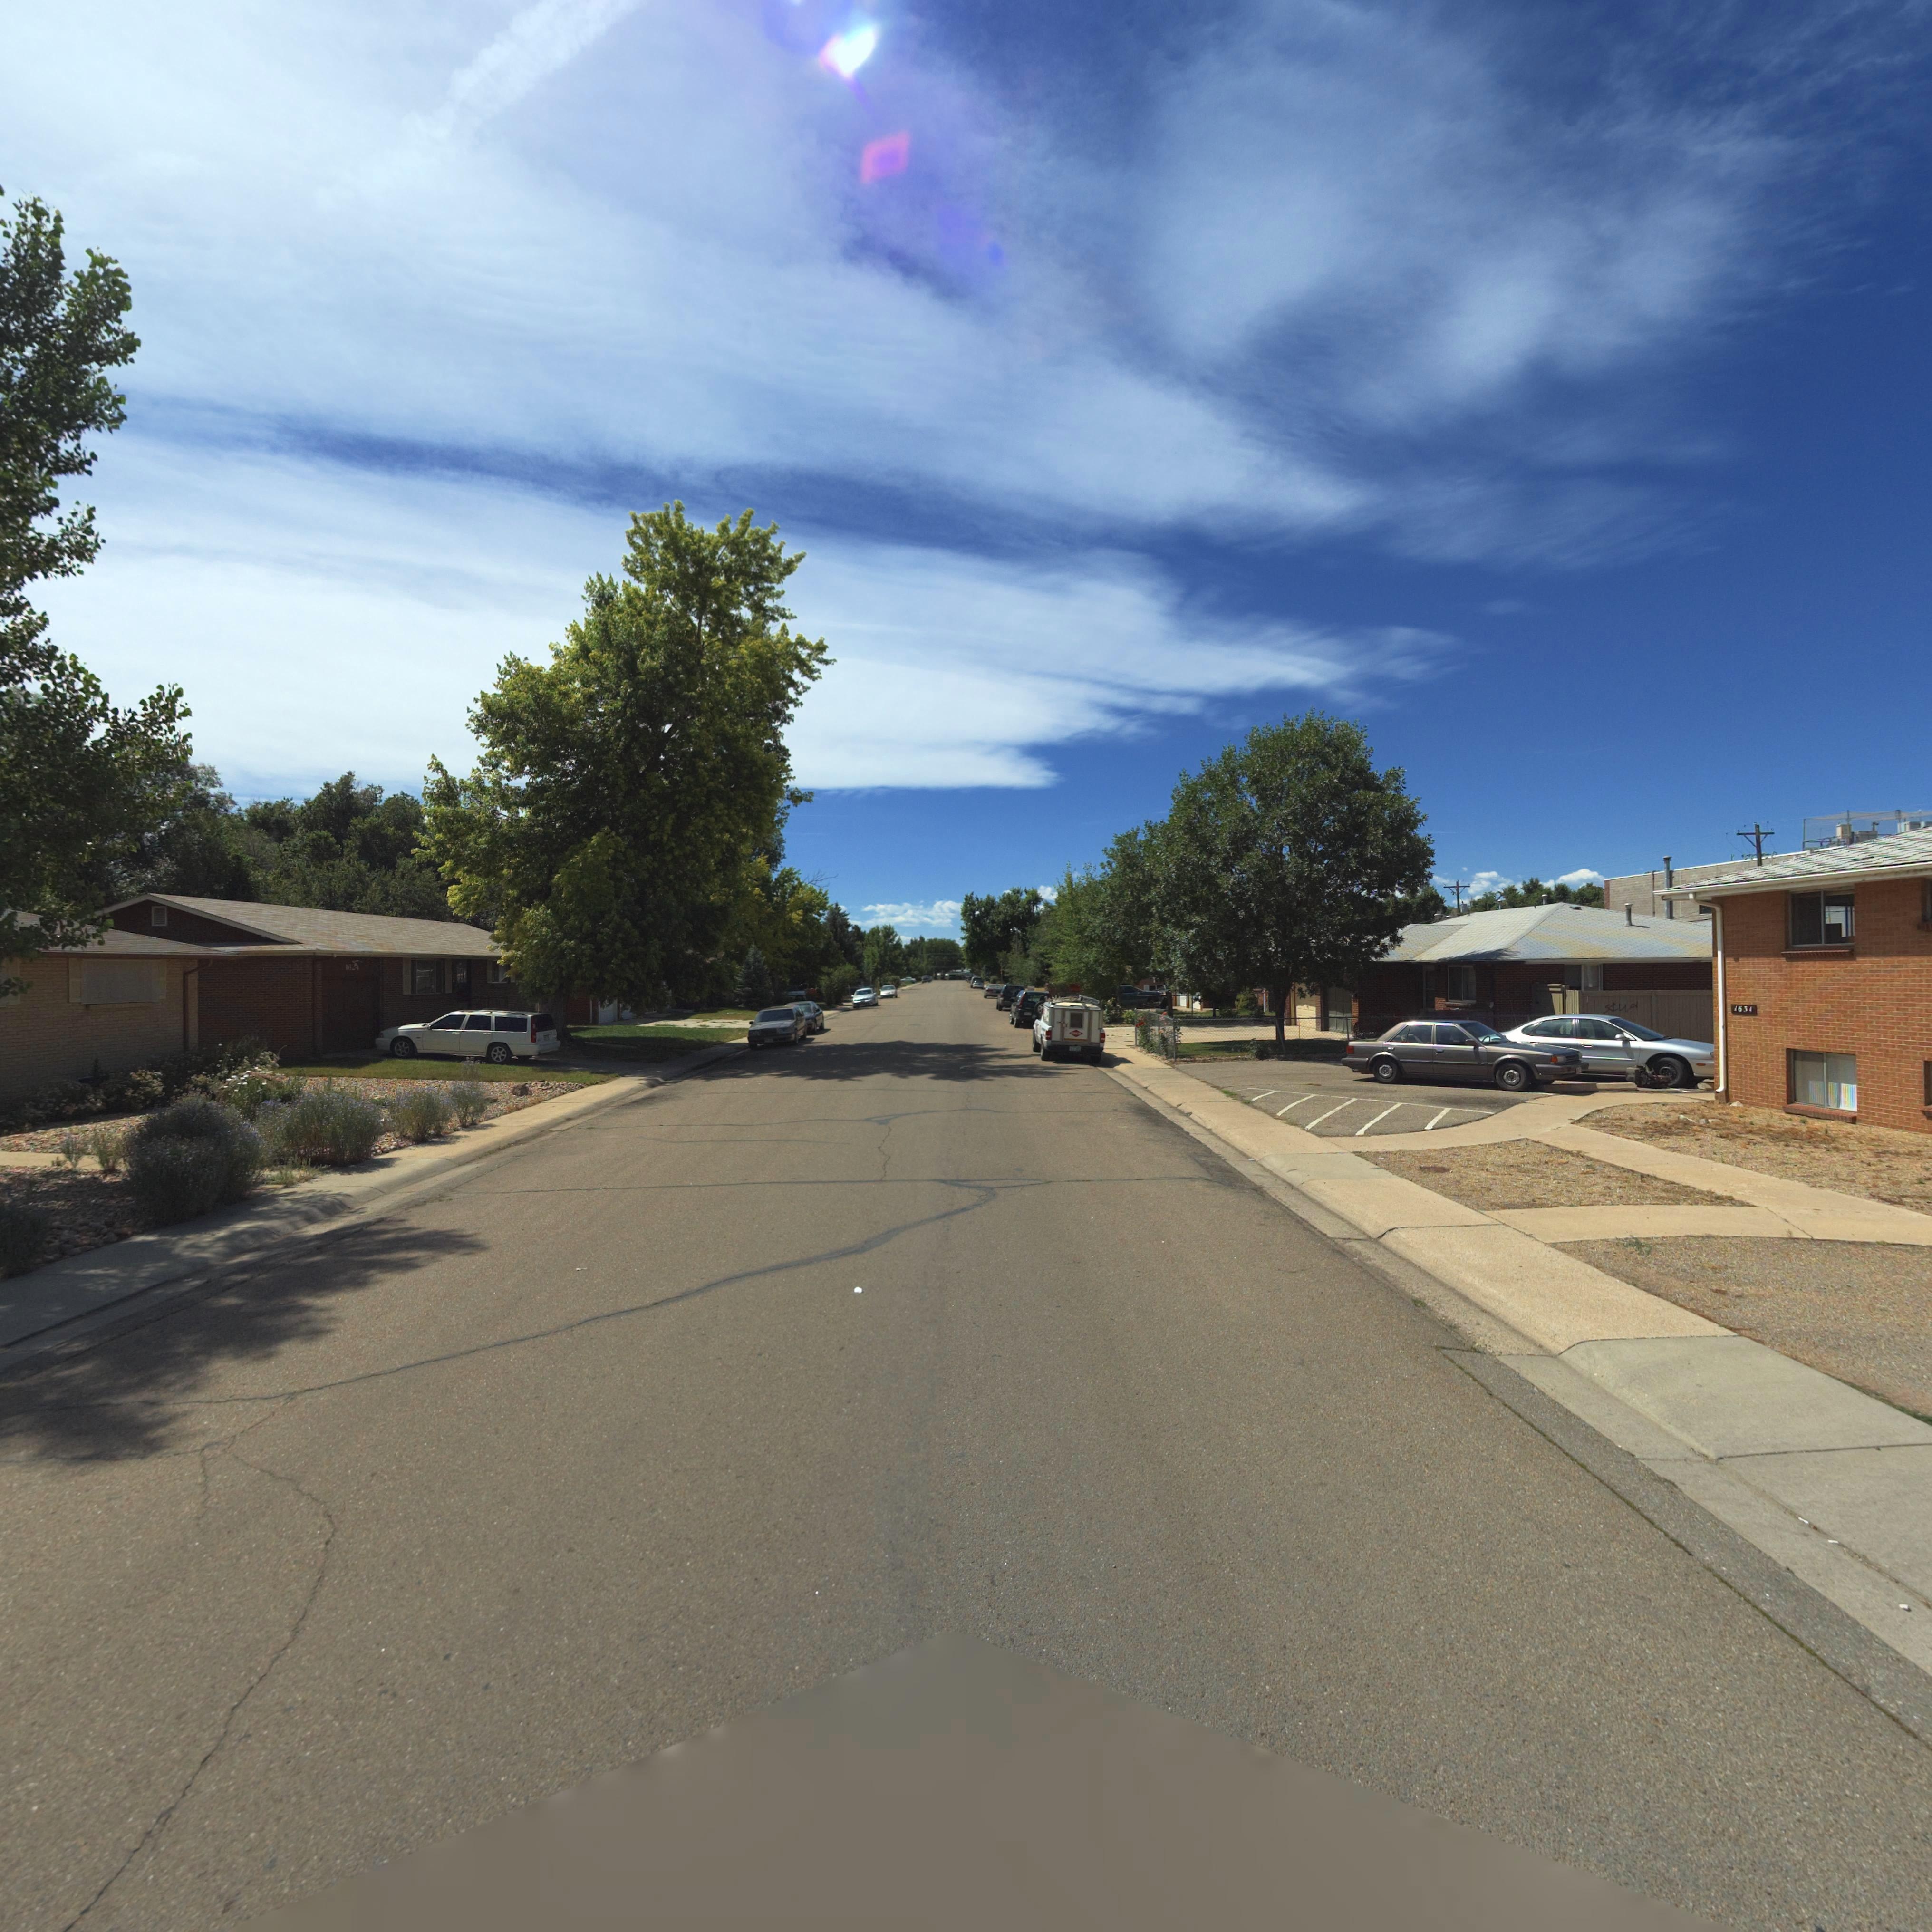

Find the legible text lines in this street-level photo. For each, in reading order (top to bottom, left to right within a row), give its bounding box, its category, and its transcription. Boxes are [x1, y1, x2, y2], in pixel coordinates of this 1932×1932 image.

[344, 963, 360, 971] StreetNumber: 1634
[1733, 1005, 1752, 1012] StreetNumber: 1631